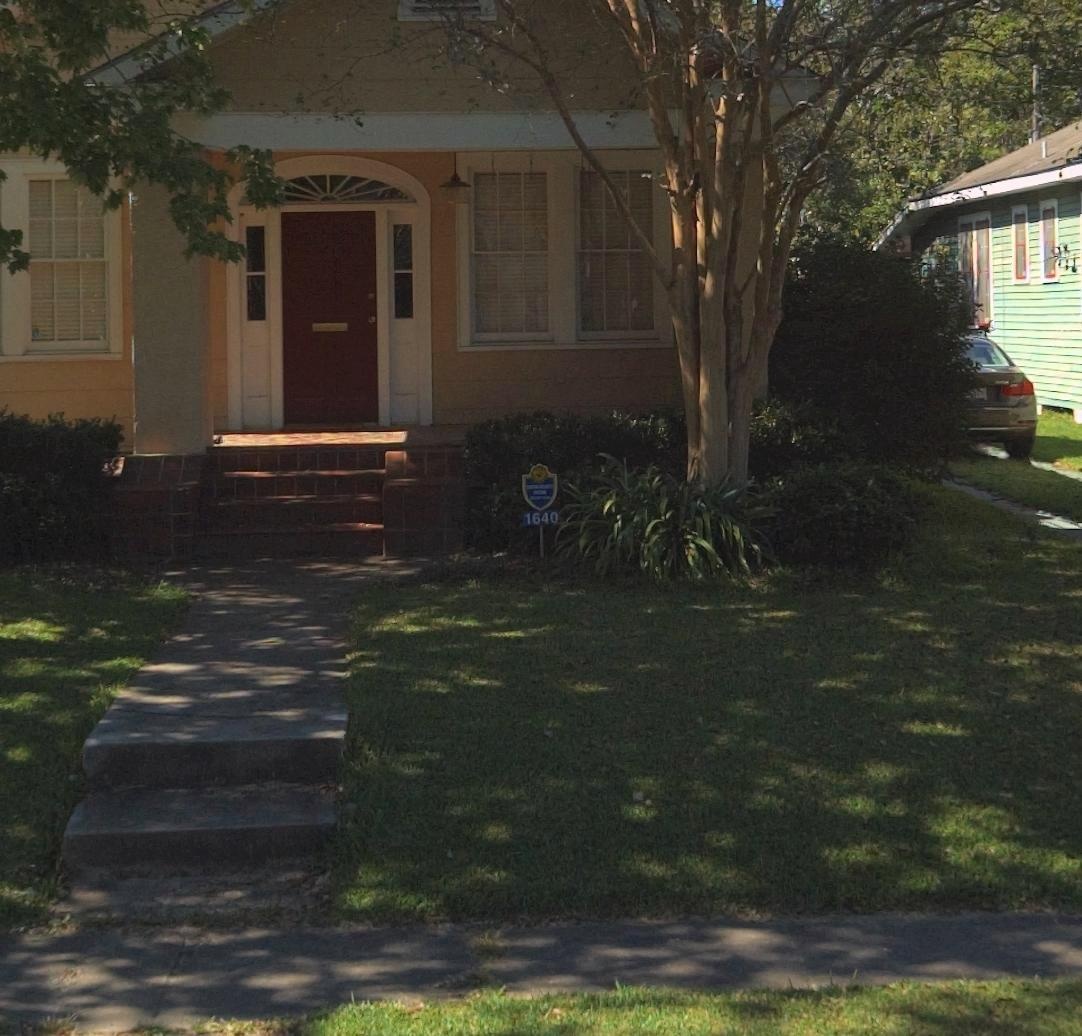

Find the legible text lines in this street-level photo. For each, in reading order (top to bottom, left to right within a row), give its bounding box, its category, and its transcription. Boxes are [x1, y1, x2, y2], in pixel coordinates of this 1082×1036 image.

[522, 509, 561, 527] StreetNumber: 1640